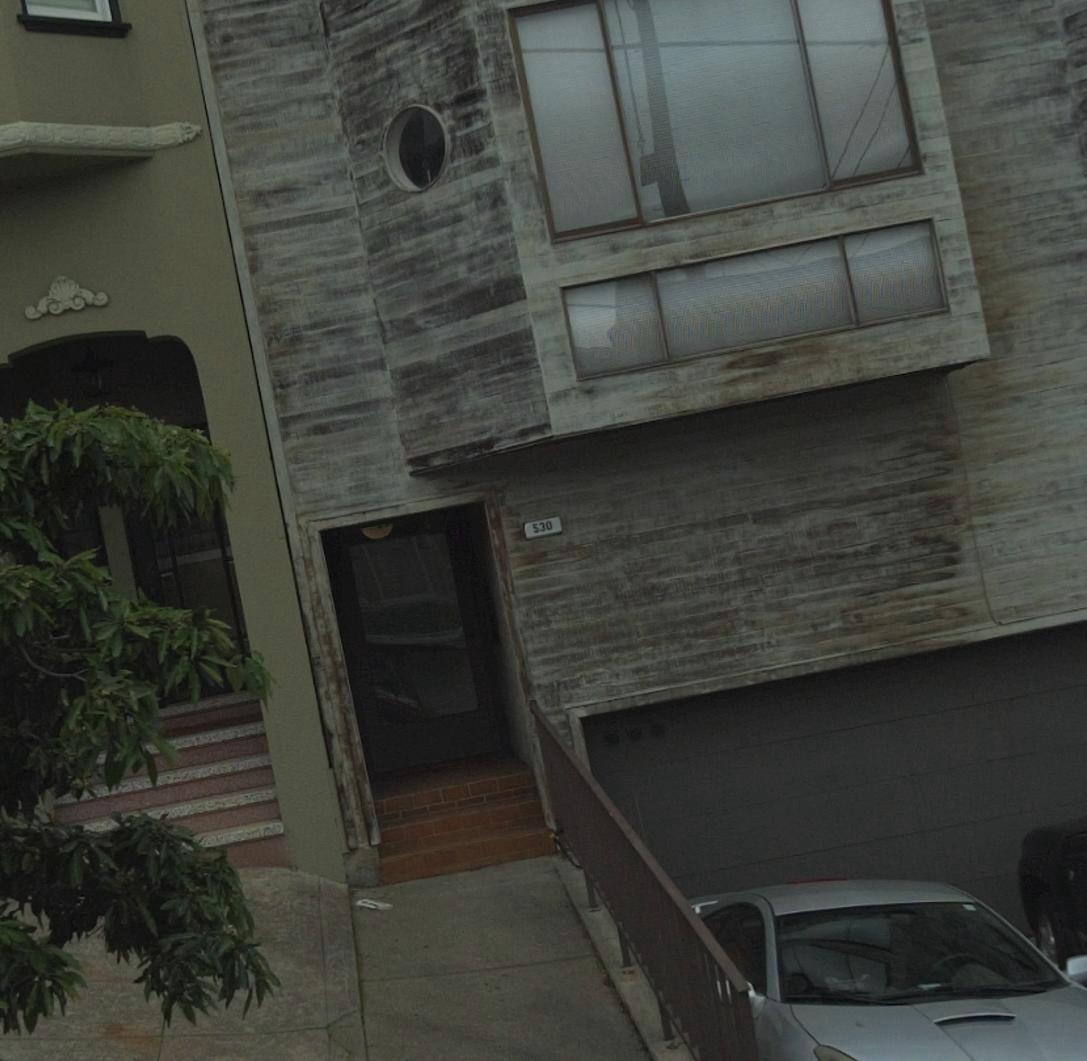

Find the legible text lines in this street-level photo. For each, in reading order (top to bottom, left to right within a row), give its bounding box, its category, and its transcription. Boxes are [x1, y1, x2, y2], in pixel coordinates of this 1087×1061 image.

[531, 519, 555, 535] StreetNumber: 530